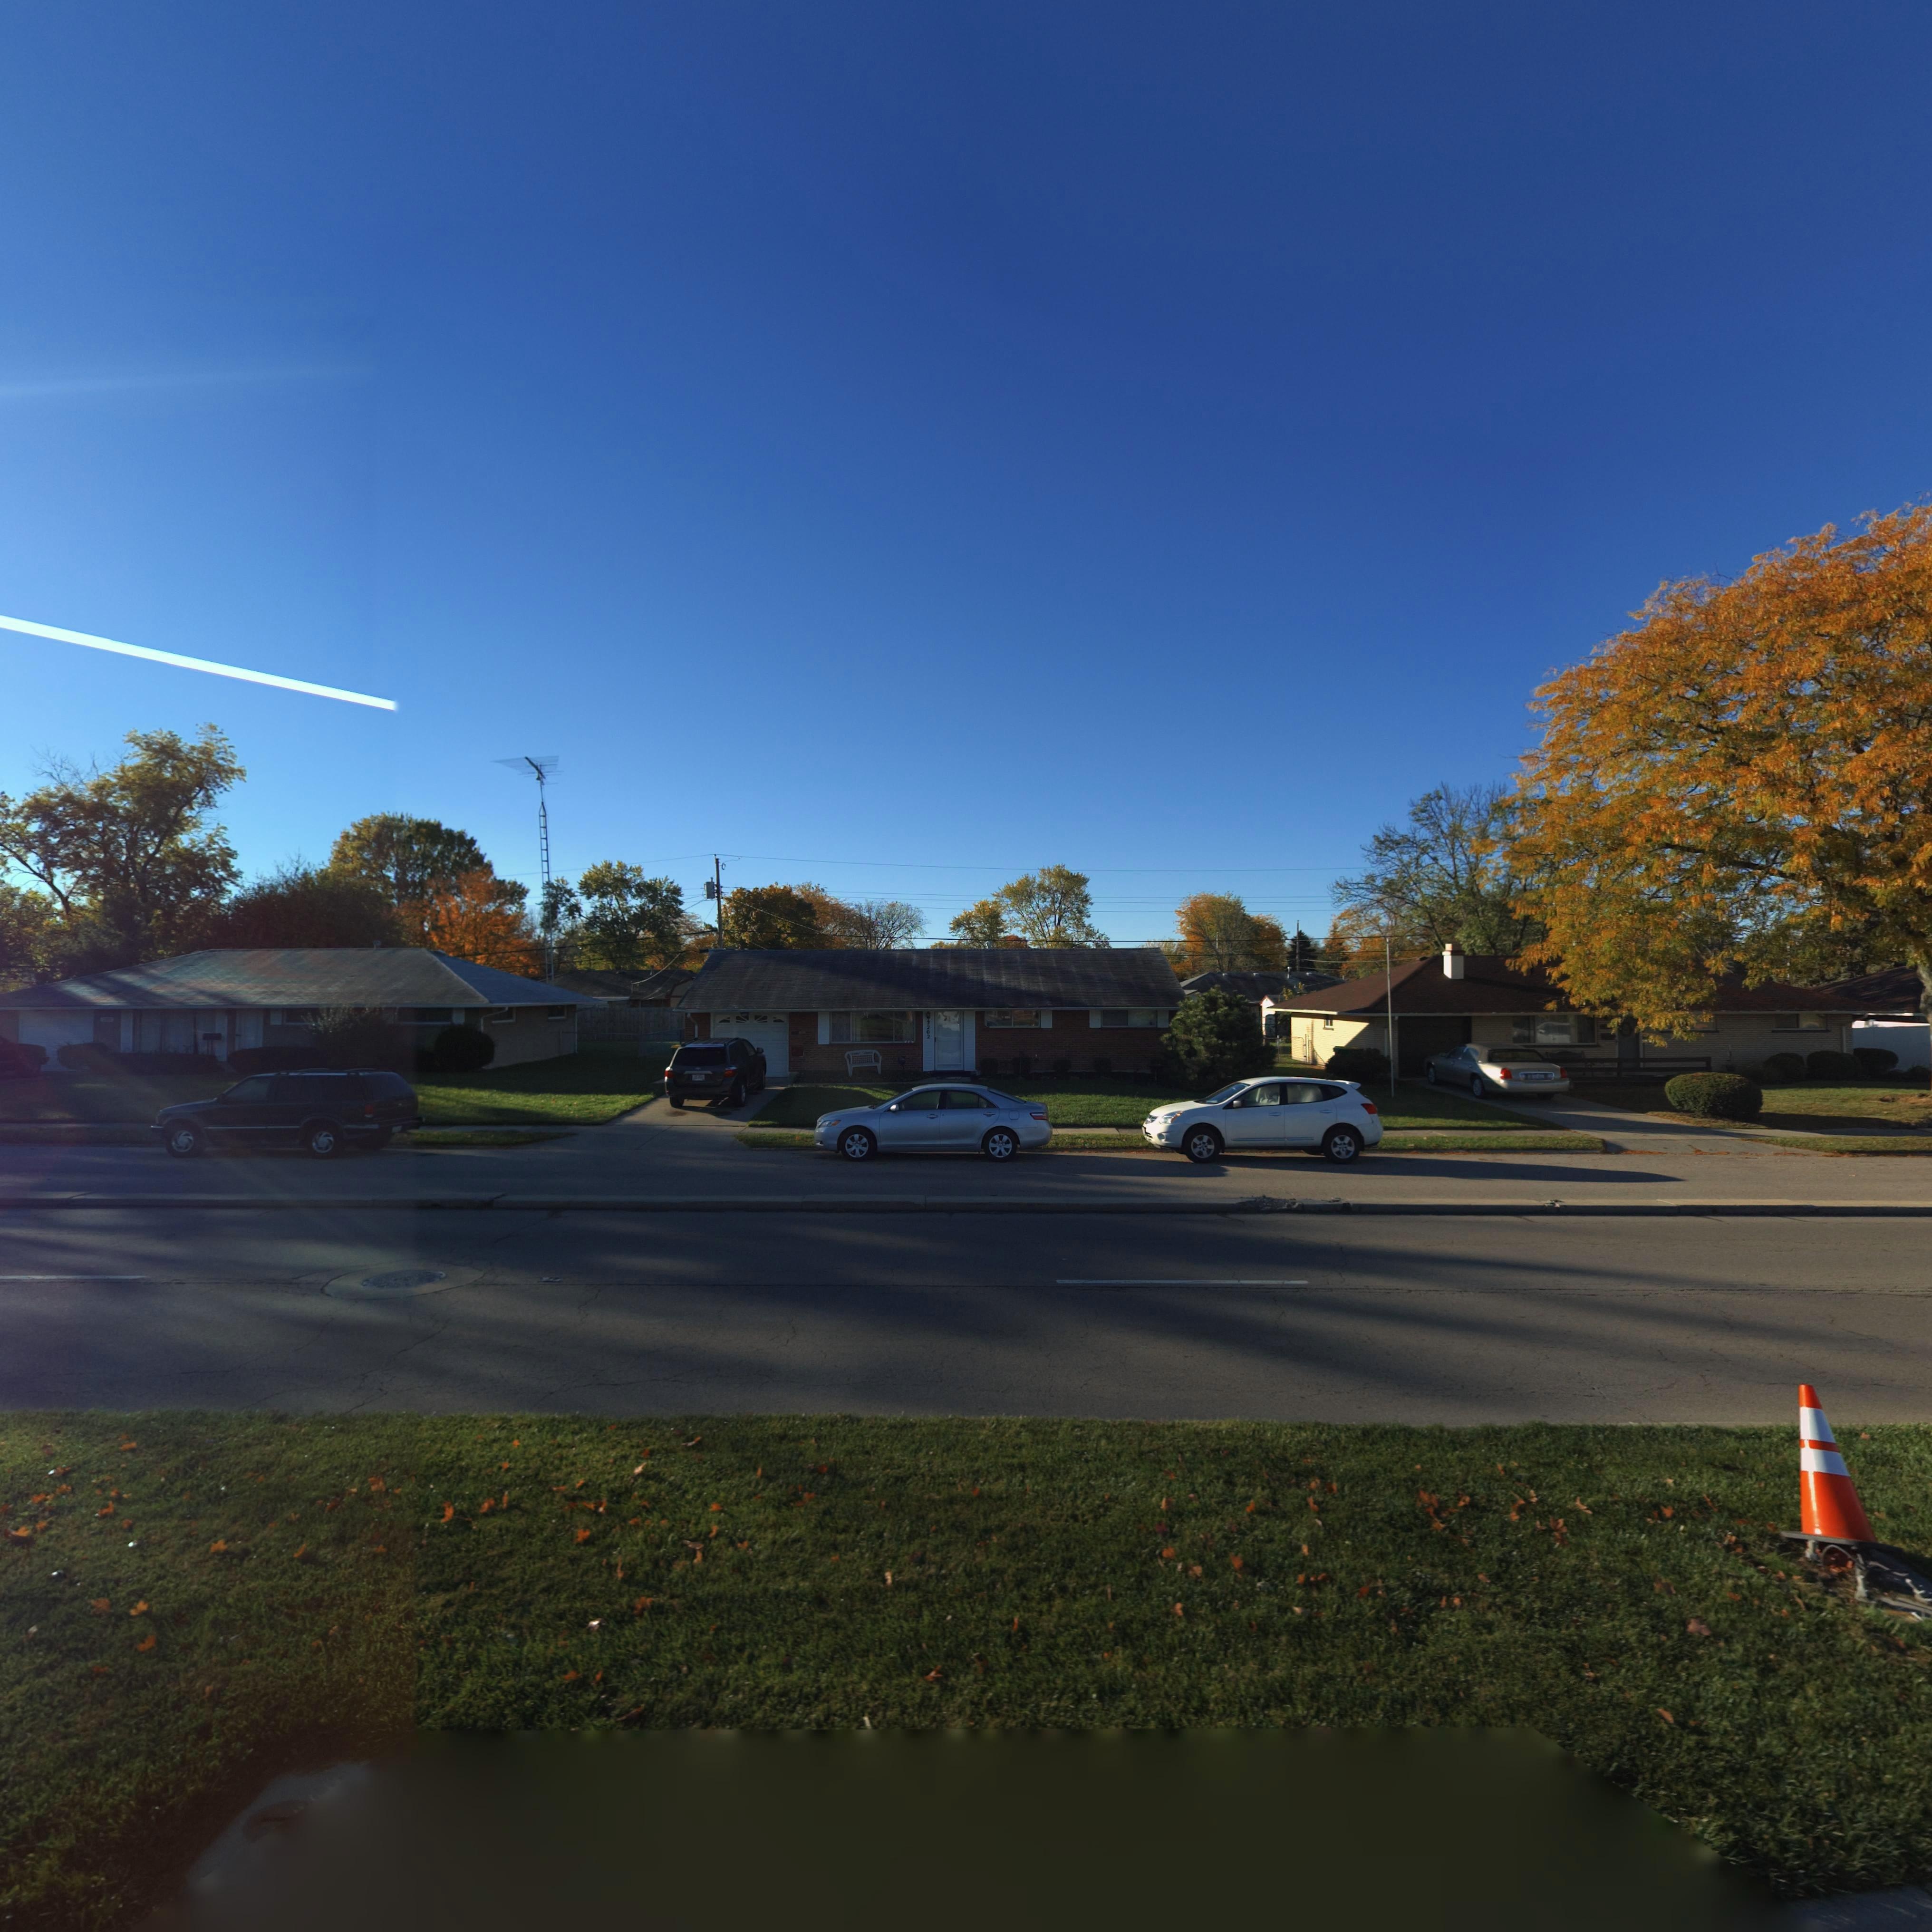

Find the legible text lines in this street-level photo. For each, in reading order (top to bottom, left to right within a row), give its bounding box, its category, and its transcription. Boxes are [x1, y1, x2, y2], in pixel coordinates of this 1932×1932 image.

[926, 1019, 931, 1040] StreetNumber: *202